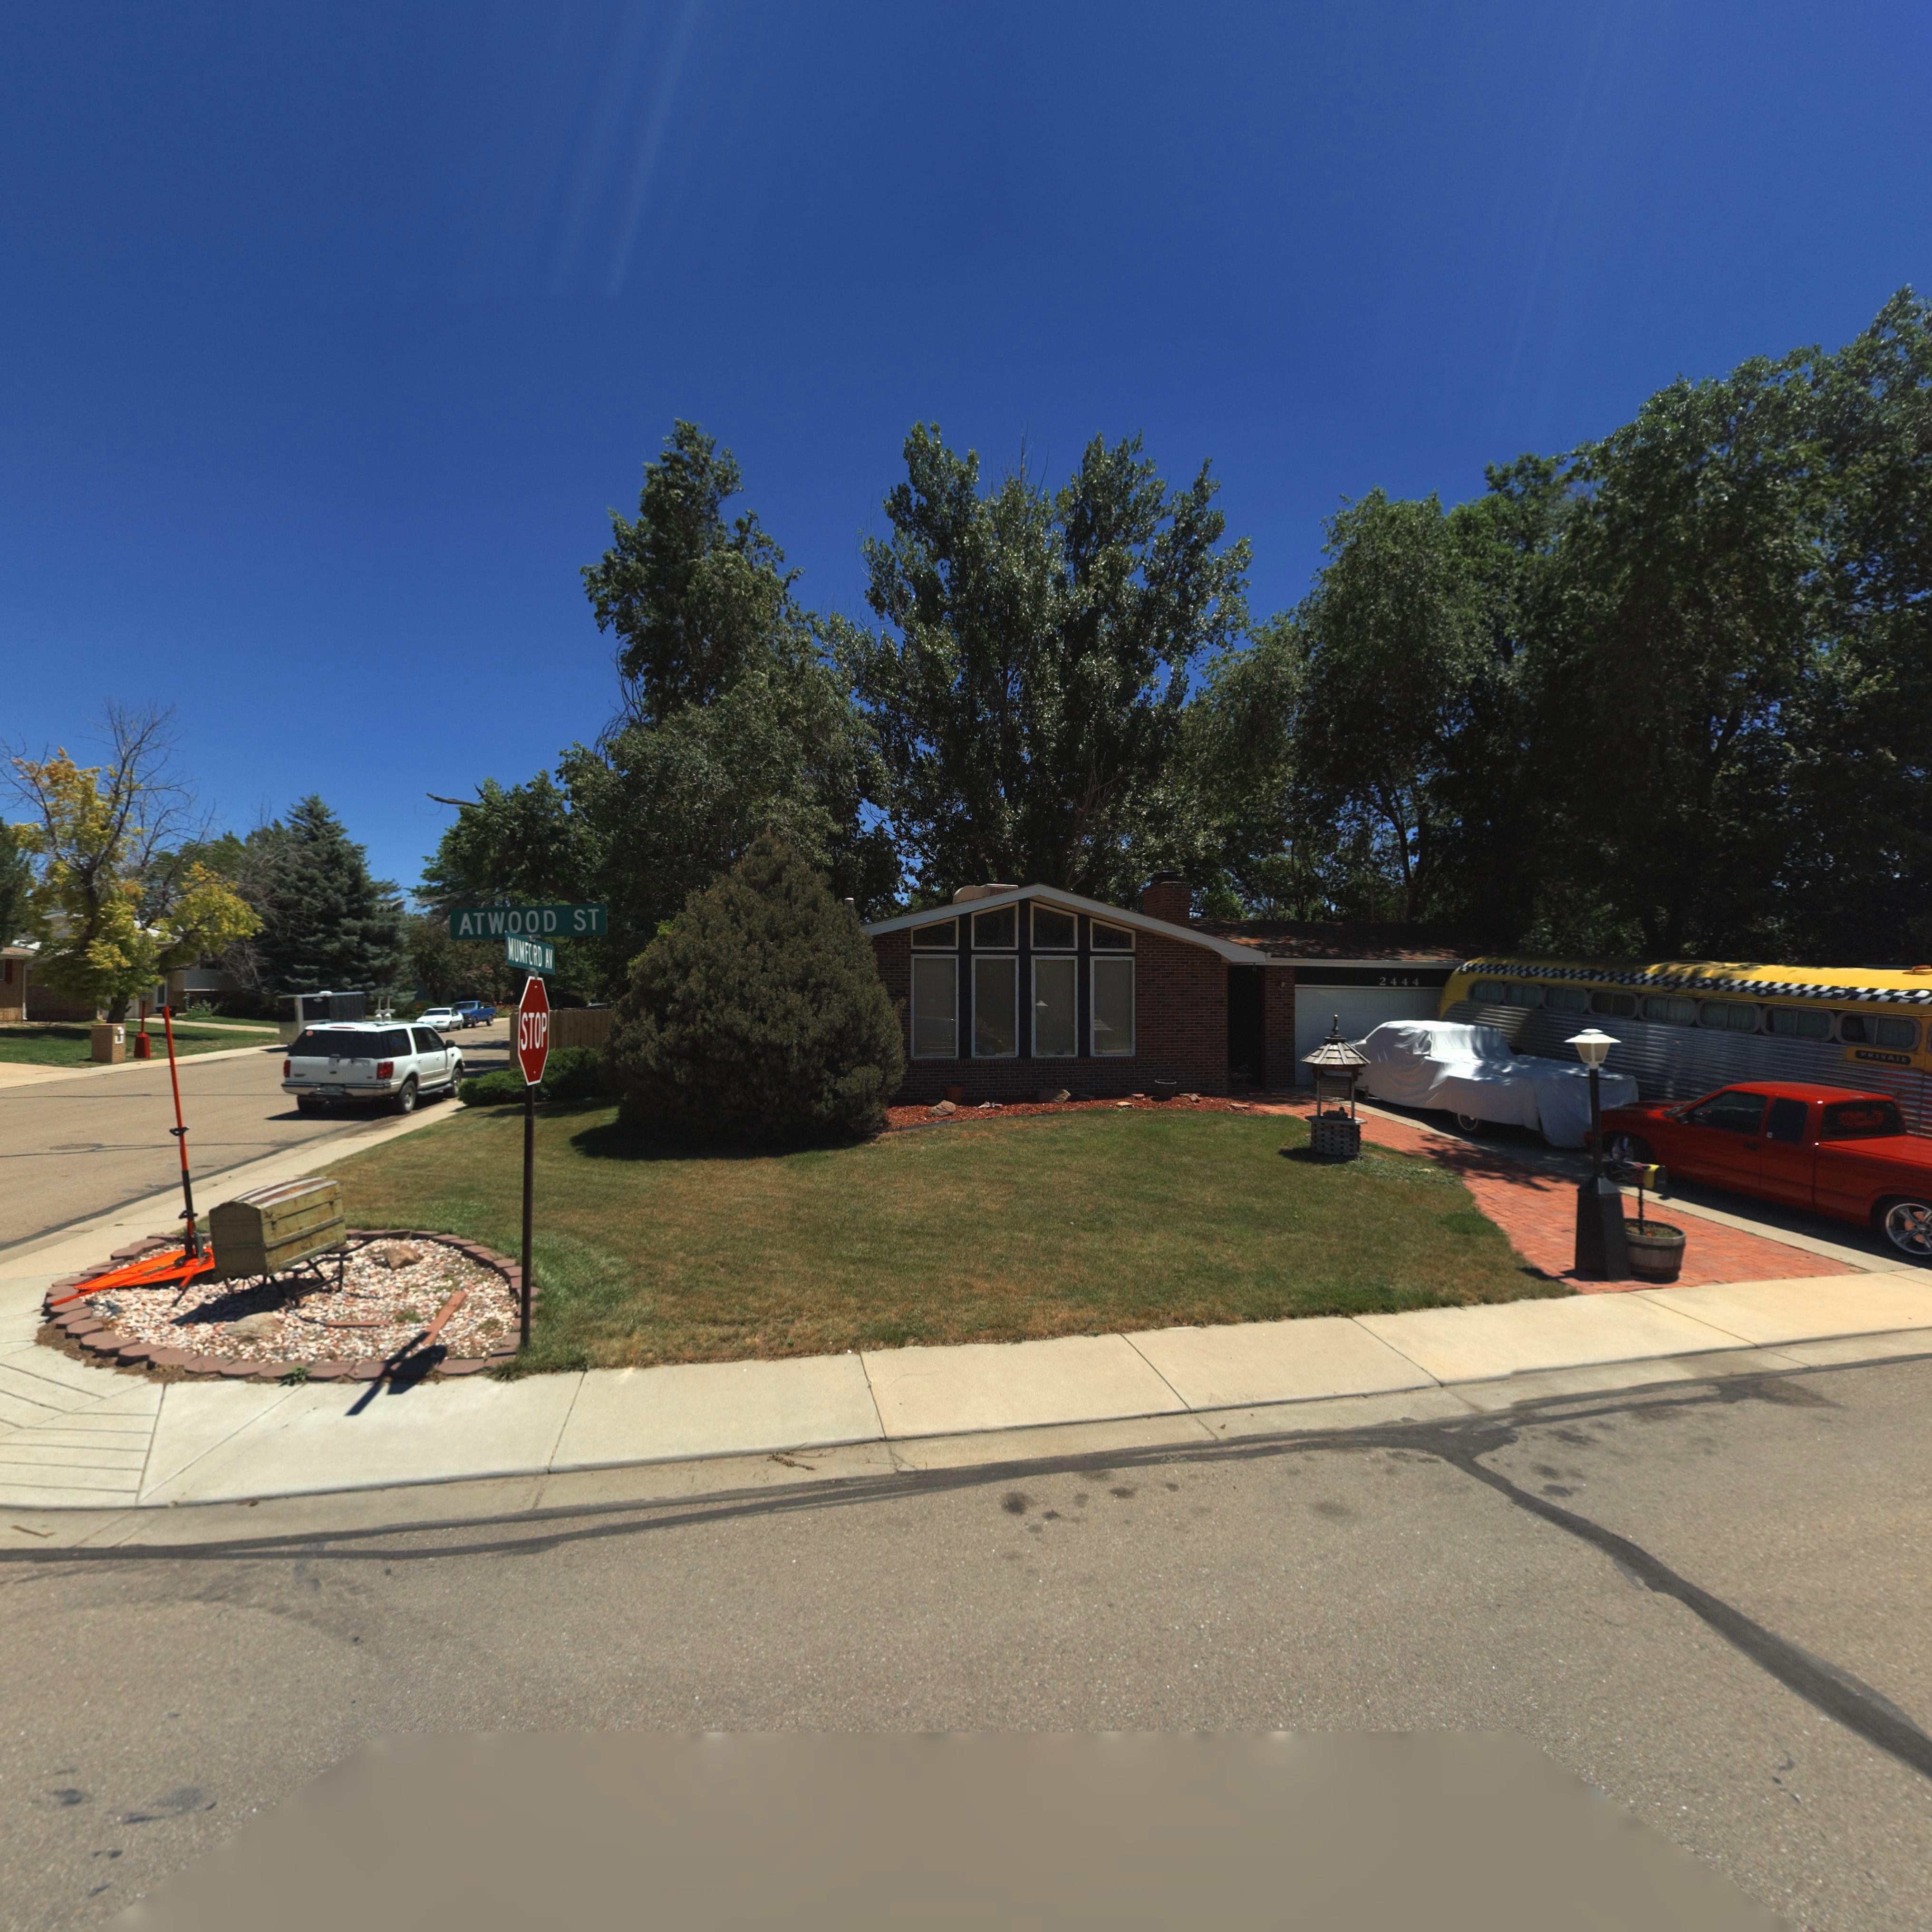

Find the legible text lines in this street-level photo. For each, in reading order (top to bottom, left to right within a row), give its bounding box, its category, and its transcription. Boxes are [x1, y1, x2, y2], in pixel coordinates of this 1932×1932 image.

[458, 908, 599, 935] StreetName: ATWOOD ST
[506, 935, 555, 971] StreetName: MUMFORD AV
[1379, 977, 1419, 986] StreetNumber: 2444